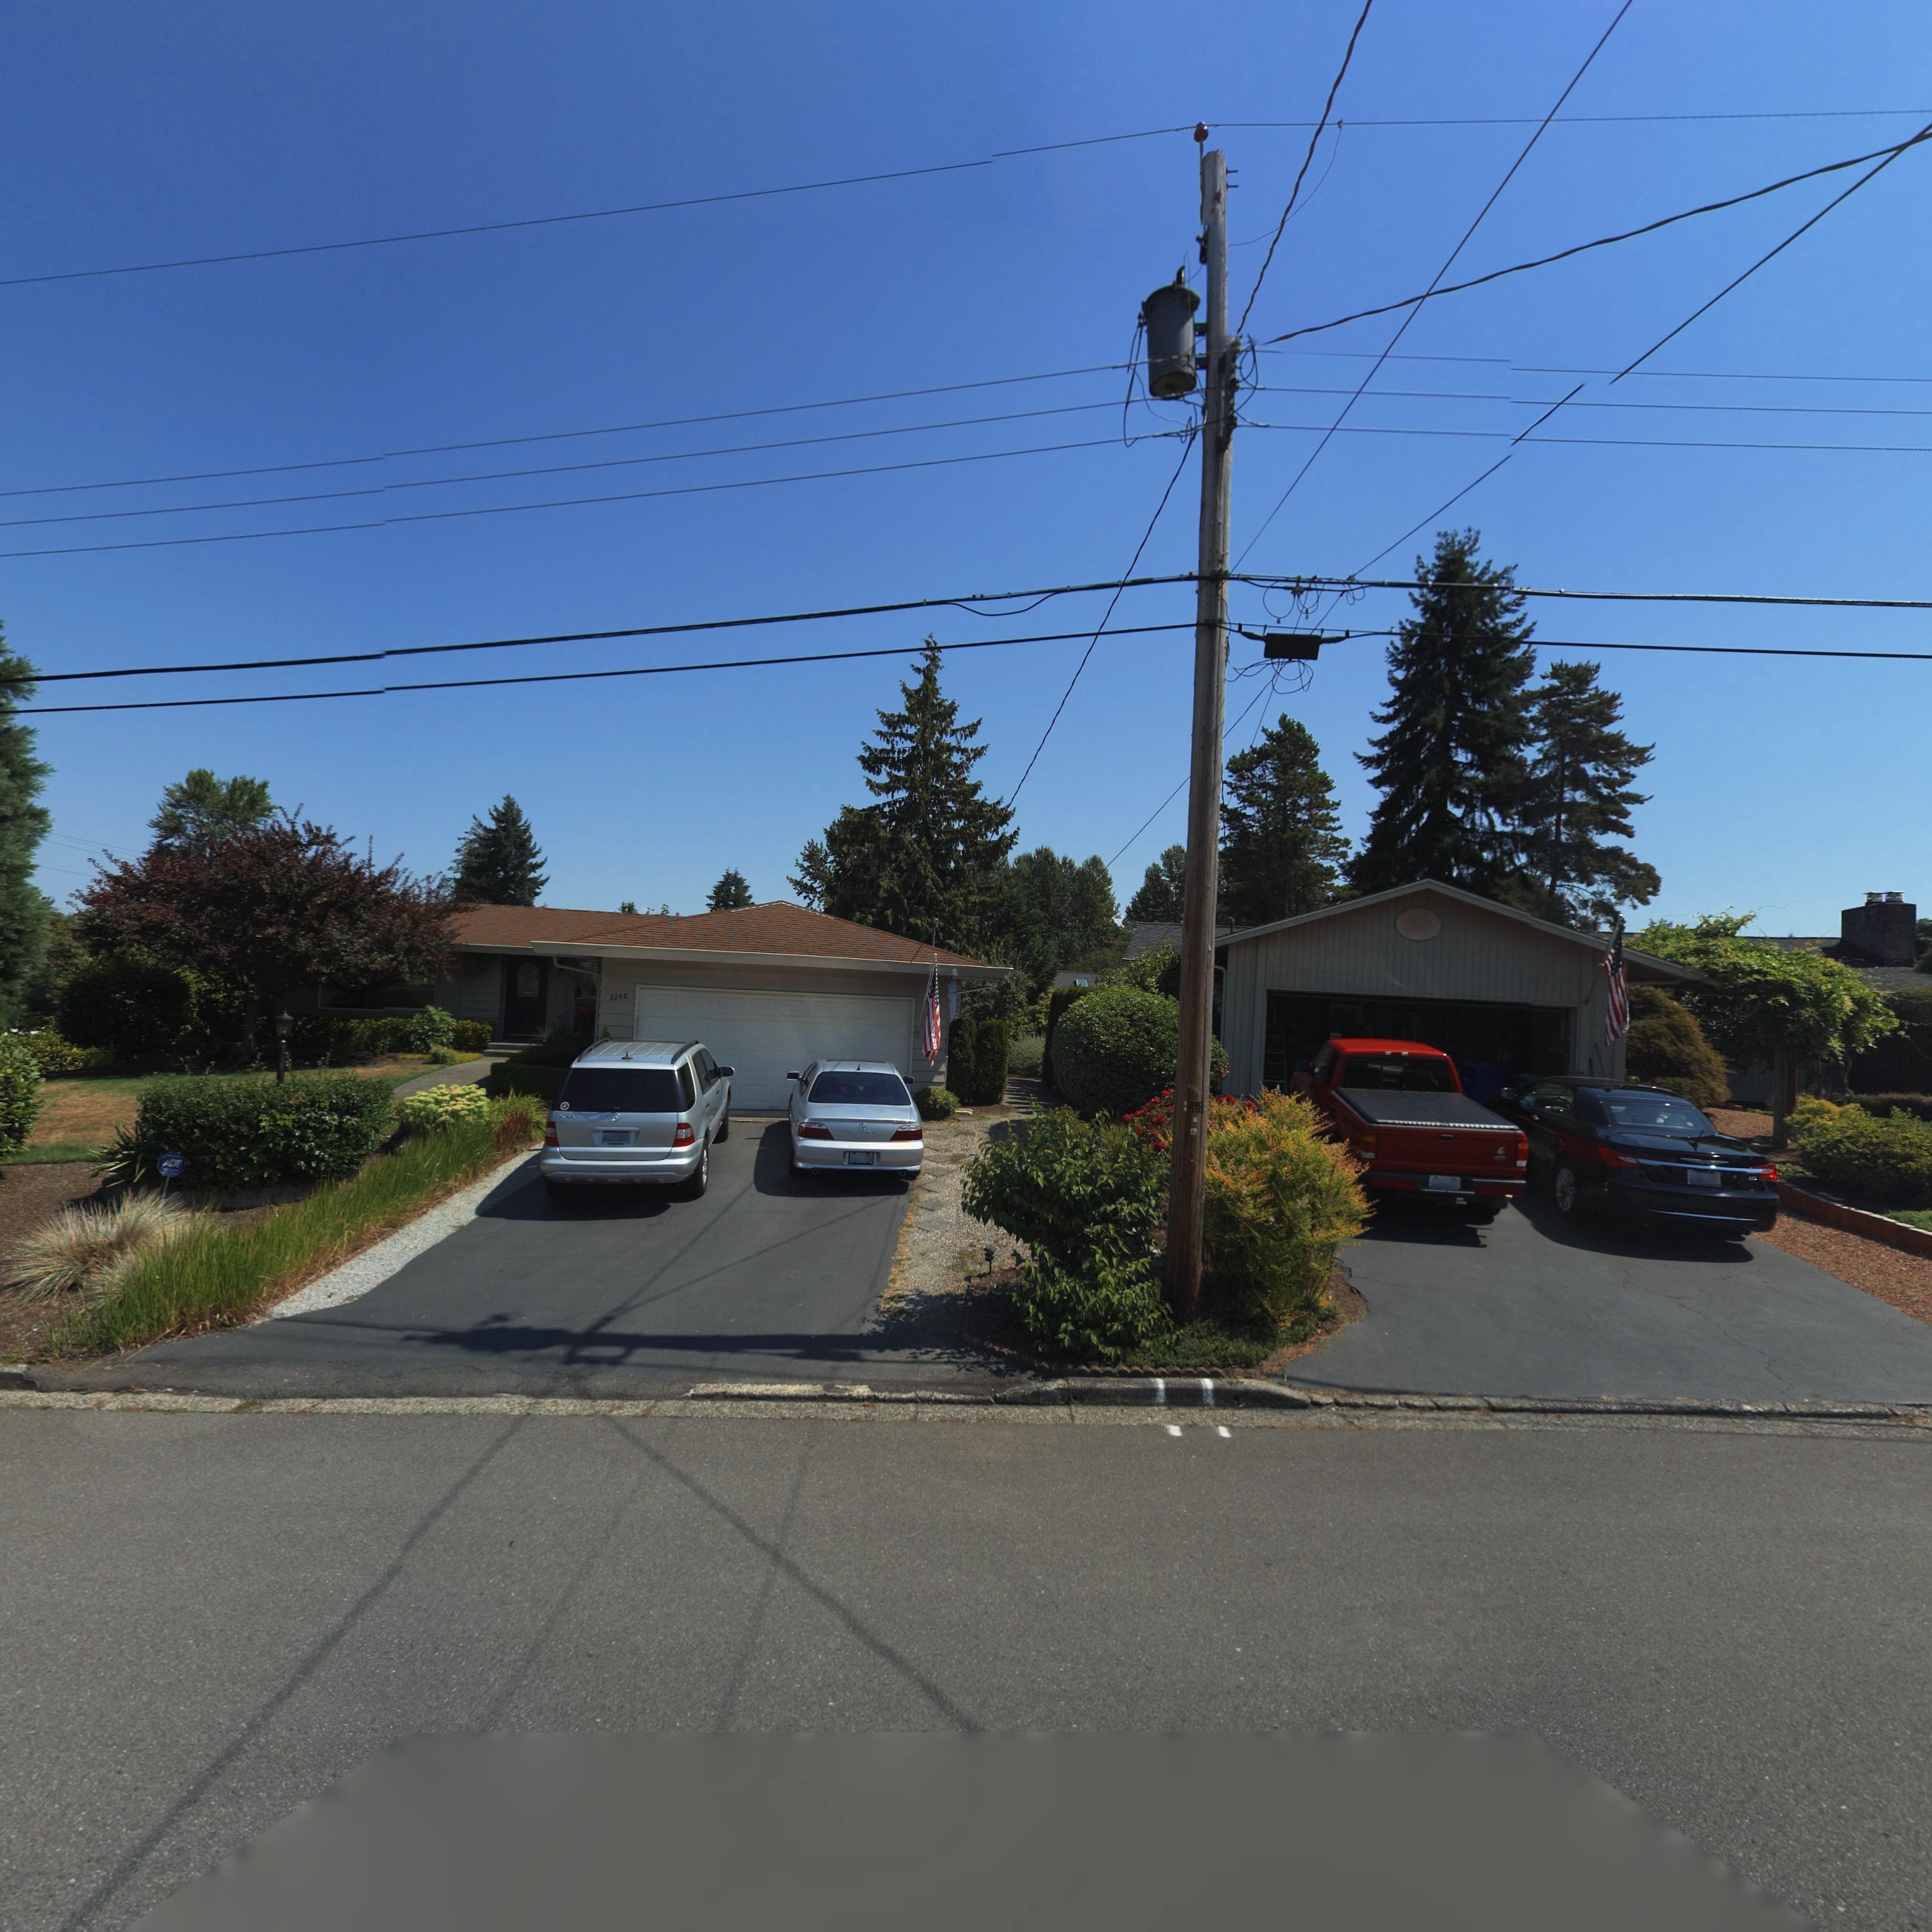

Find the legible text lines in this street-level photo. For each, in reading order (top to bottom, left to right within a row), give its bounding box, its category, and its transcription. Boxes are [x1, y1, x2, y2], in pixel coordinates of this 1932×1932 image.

[609, 992, 628, 1001] StreetNumber: 2248